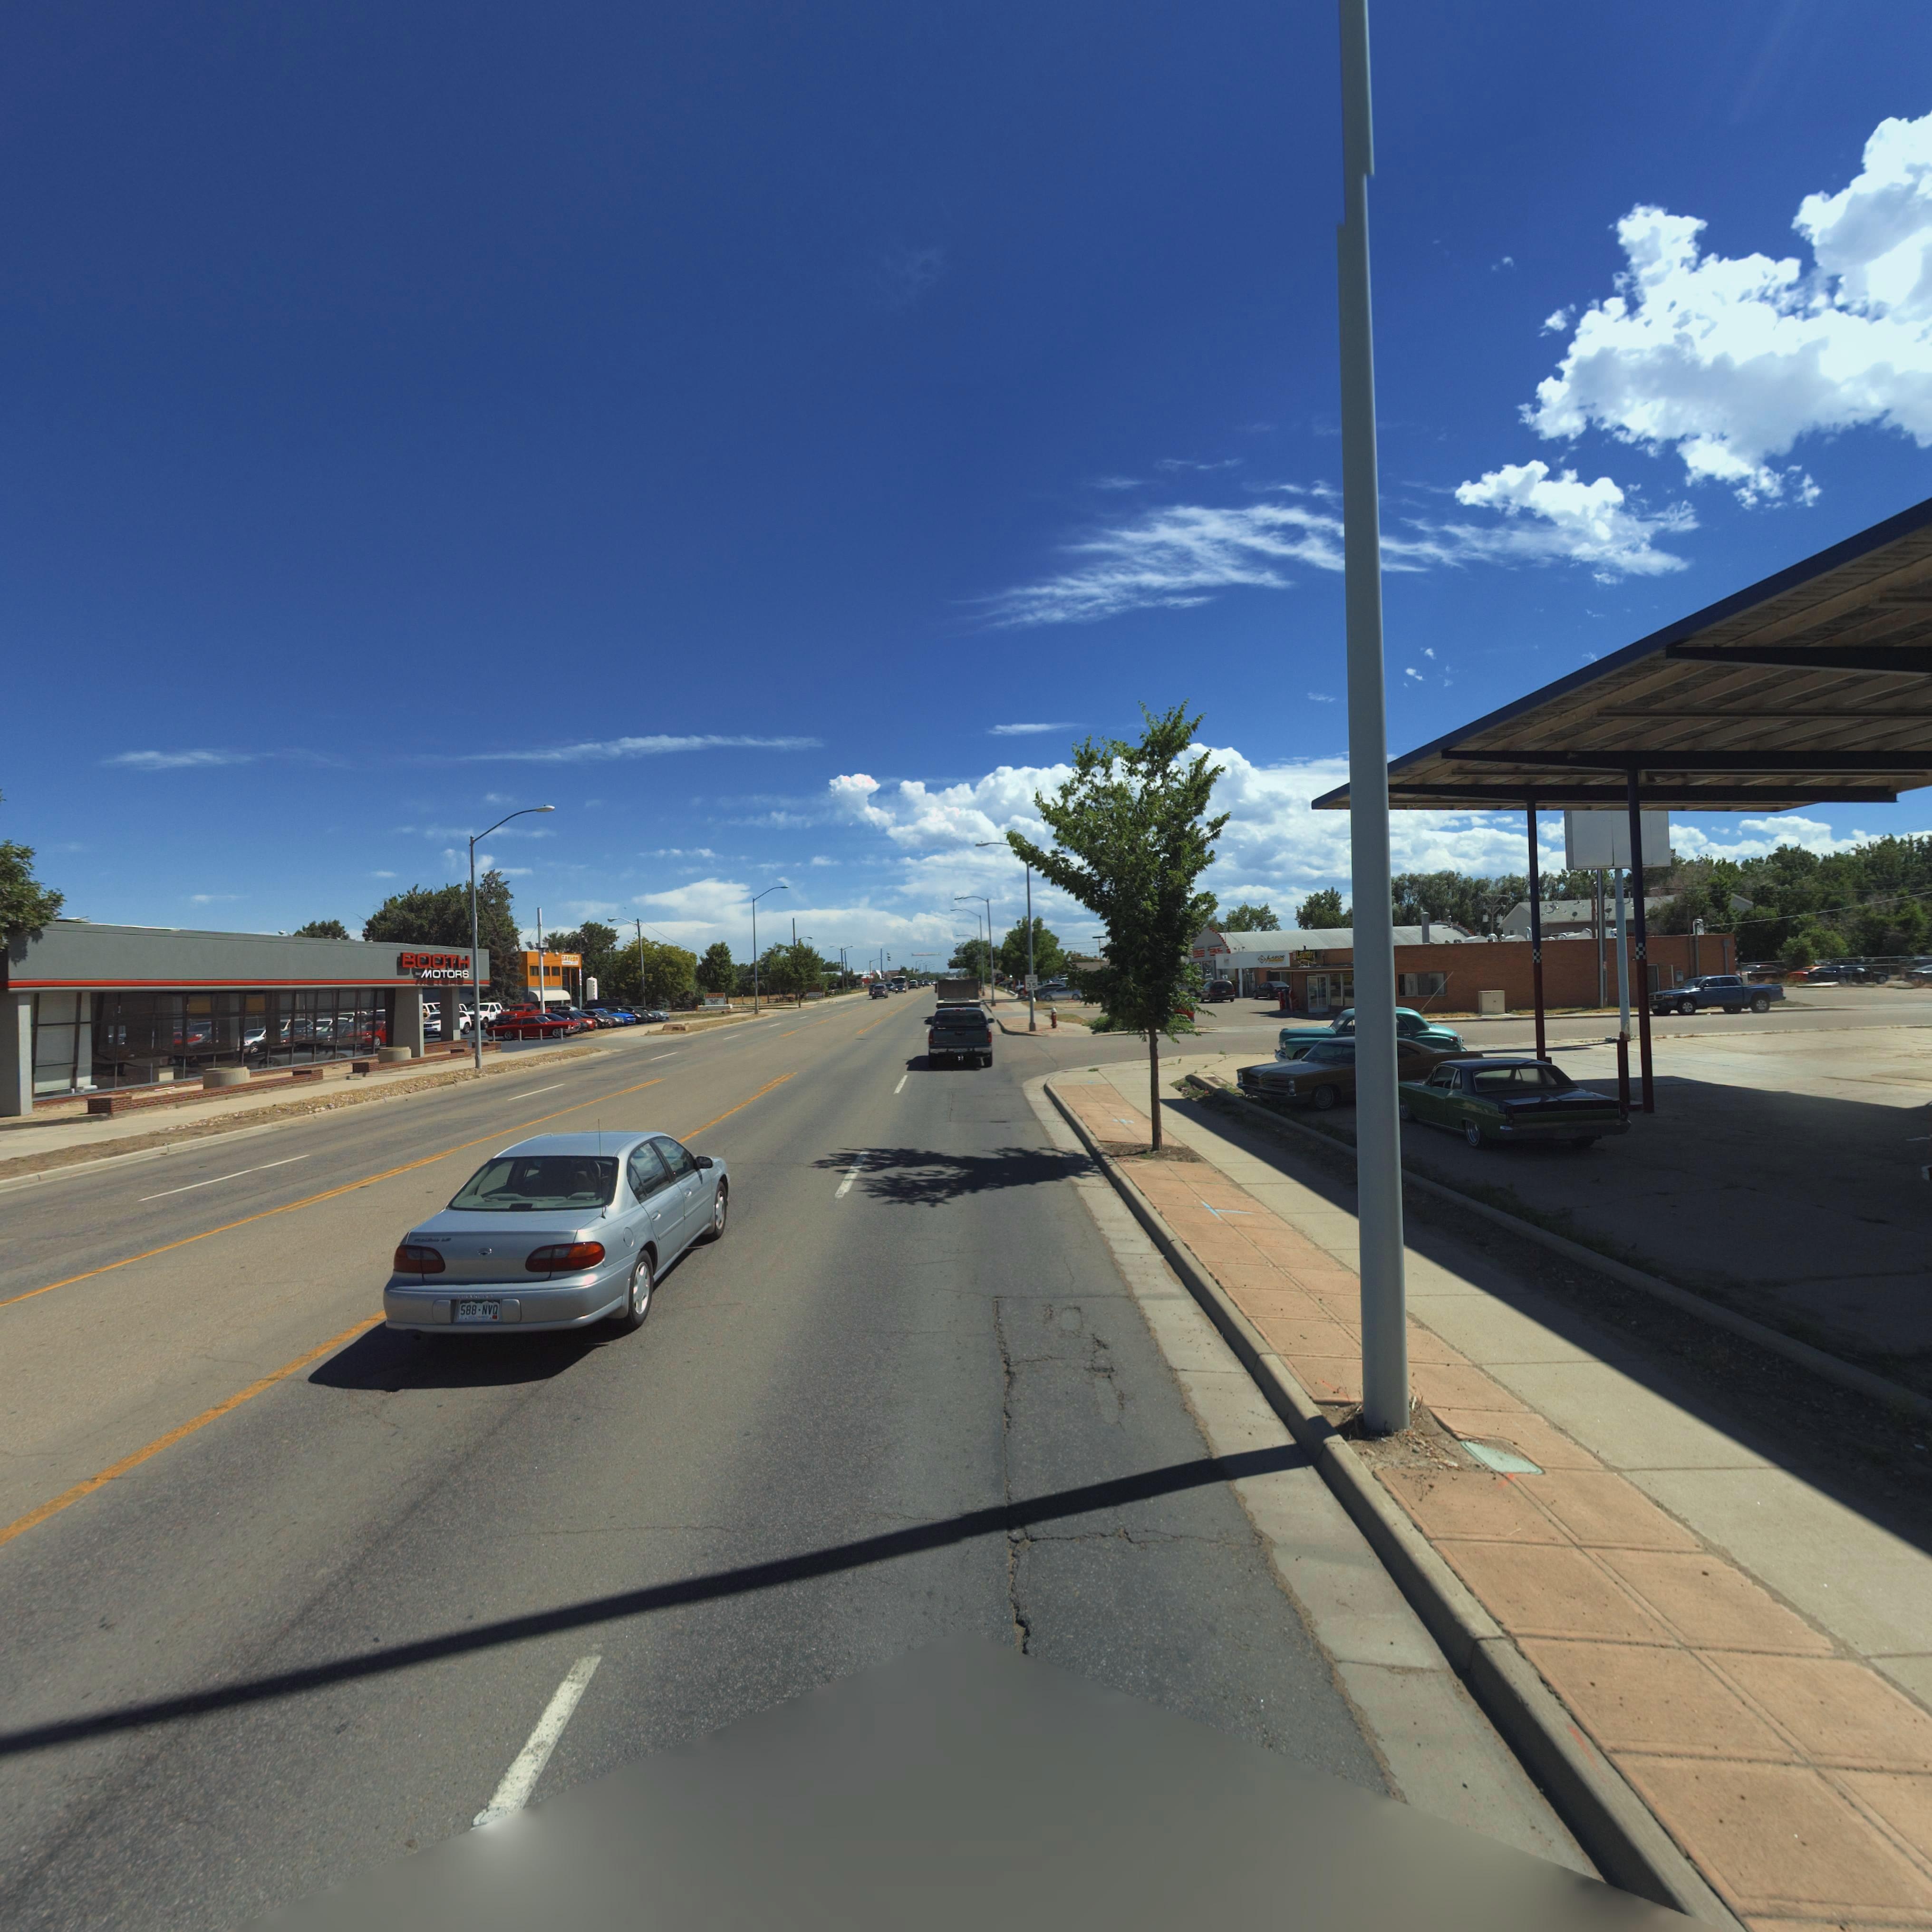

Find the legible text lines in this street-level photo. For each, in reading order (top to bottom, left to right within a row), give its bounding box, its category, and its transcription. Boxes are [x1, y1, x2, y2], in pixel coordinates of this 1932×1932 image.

[402, 952, 470, 969] BusinessName: BOOTH
[561, 956, 578, 962] BusinessName: TAYLOR
[1264, 958, 1285, 963] BusinessName: F******
[1266, 955, 1285, 958] BusinessName: LA*OR
[1296, 949, 1315, 962] BusinessName: Laundry
[420, 969, 469, 978] BusinessName: MOTORS
[704, 993, 724, 997] BusinessName: TAYL**